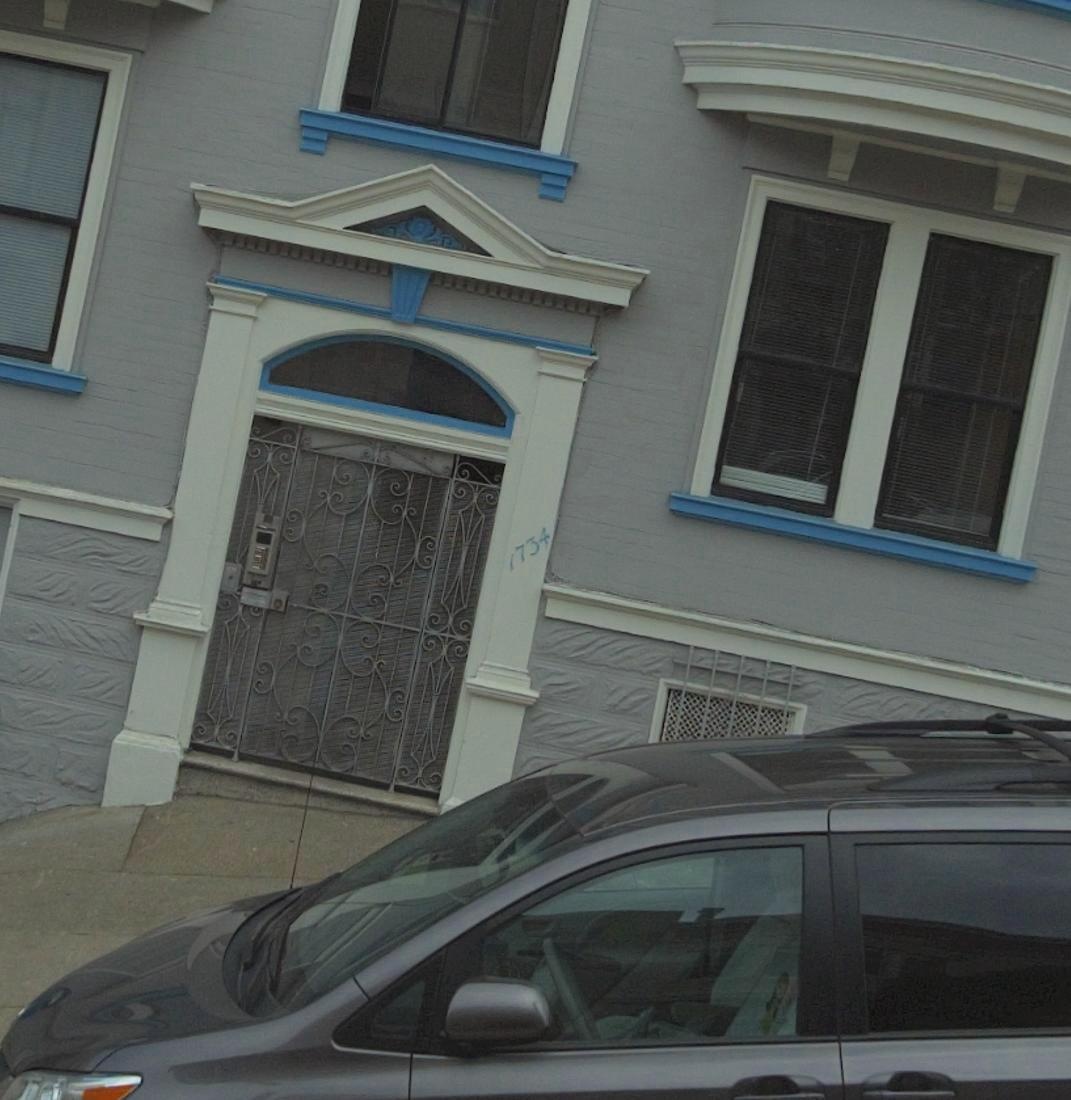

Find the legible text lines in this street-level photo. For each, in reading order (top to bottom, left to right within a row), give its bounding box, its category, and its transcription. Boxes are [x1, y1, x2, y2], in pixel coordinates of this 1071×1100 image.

[507, 522, 553, 578] StreetNumber: 1734